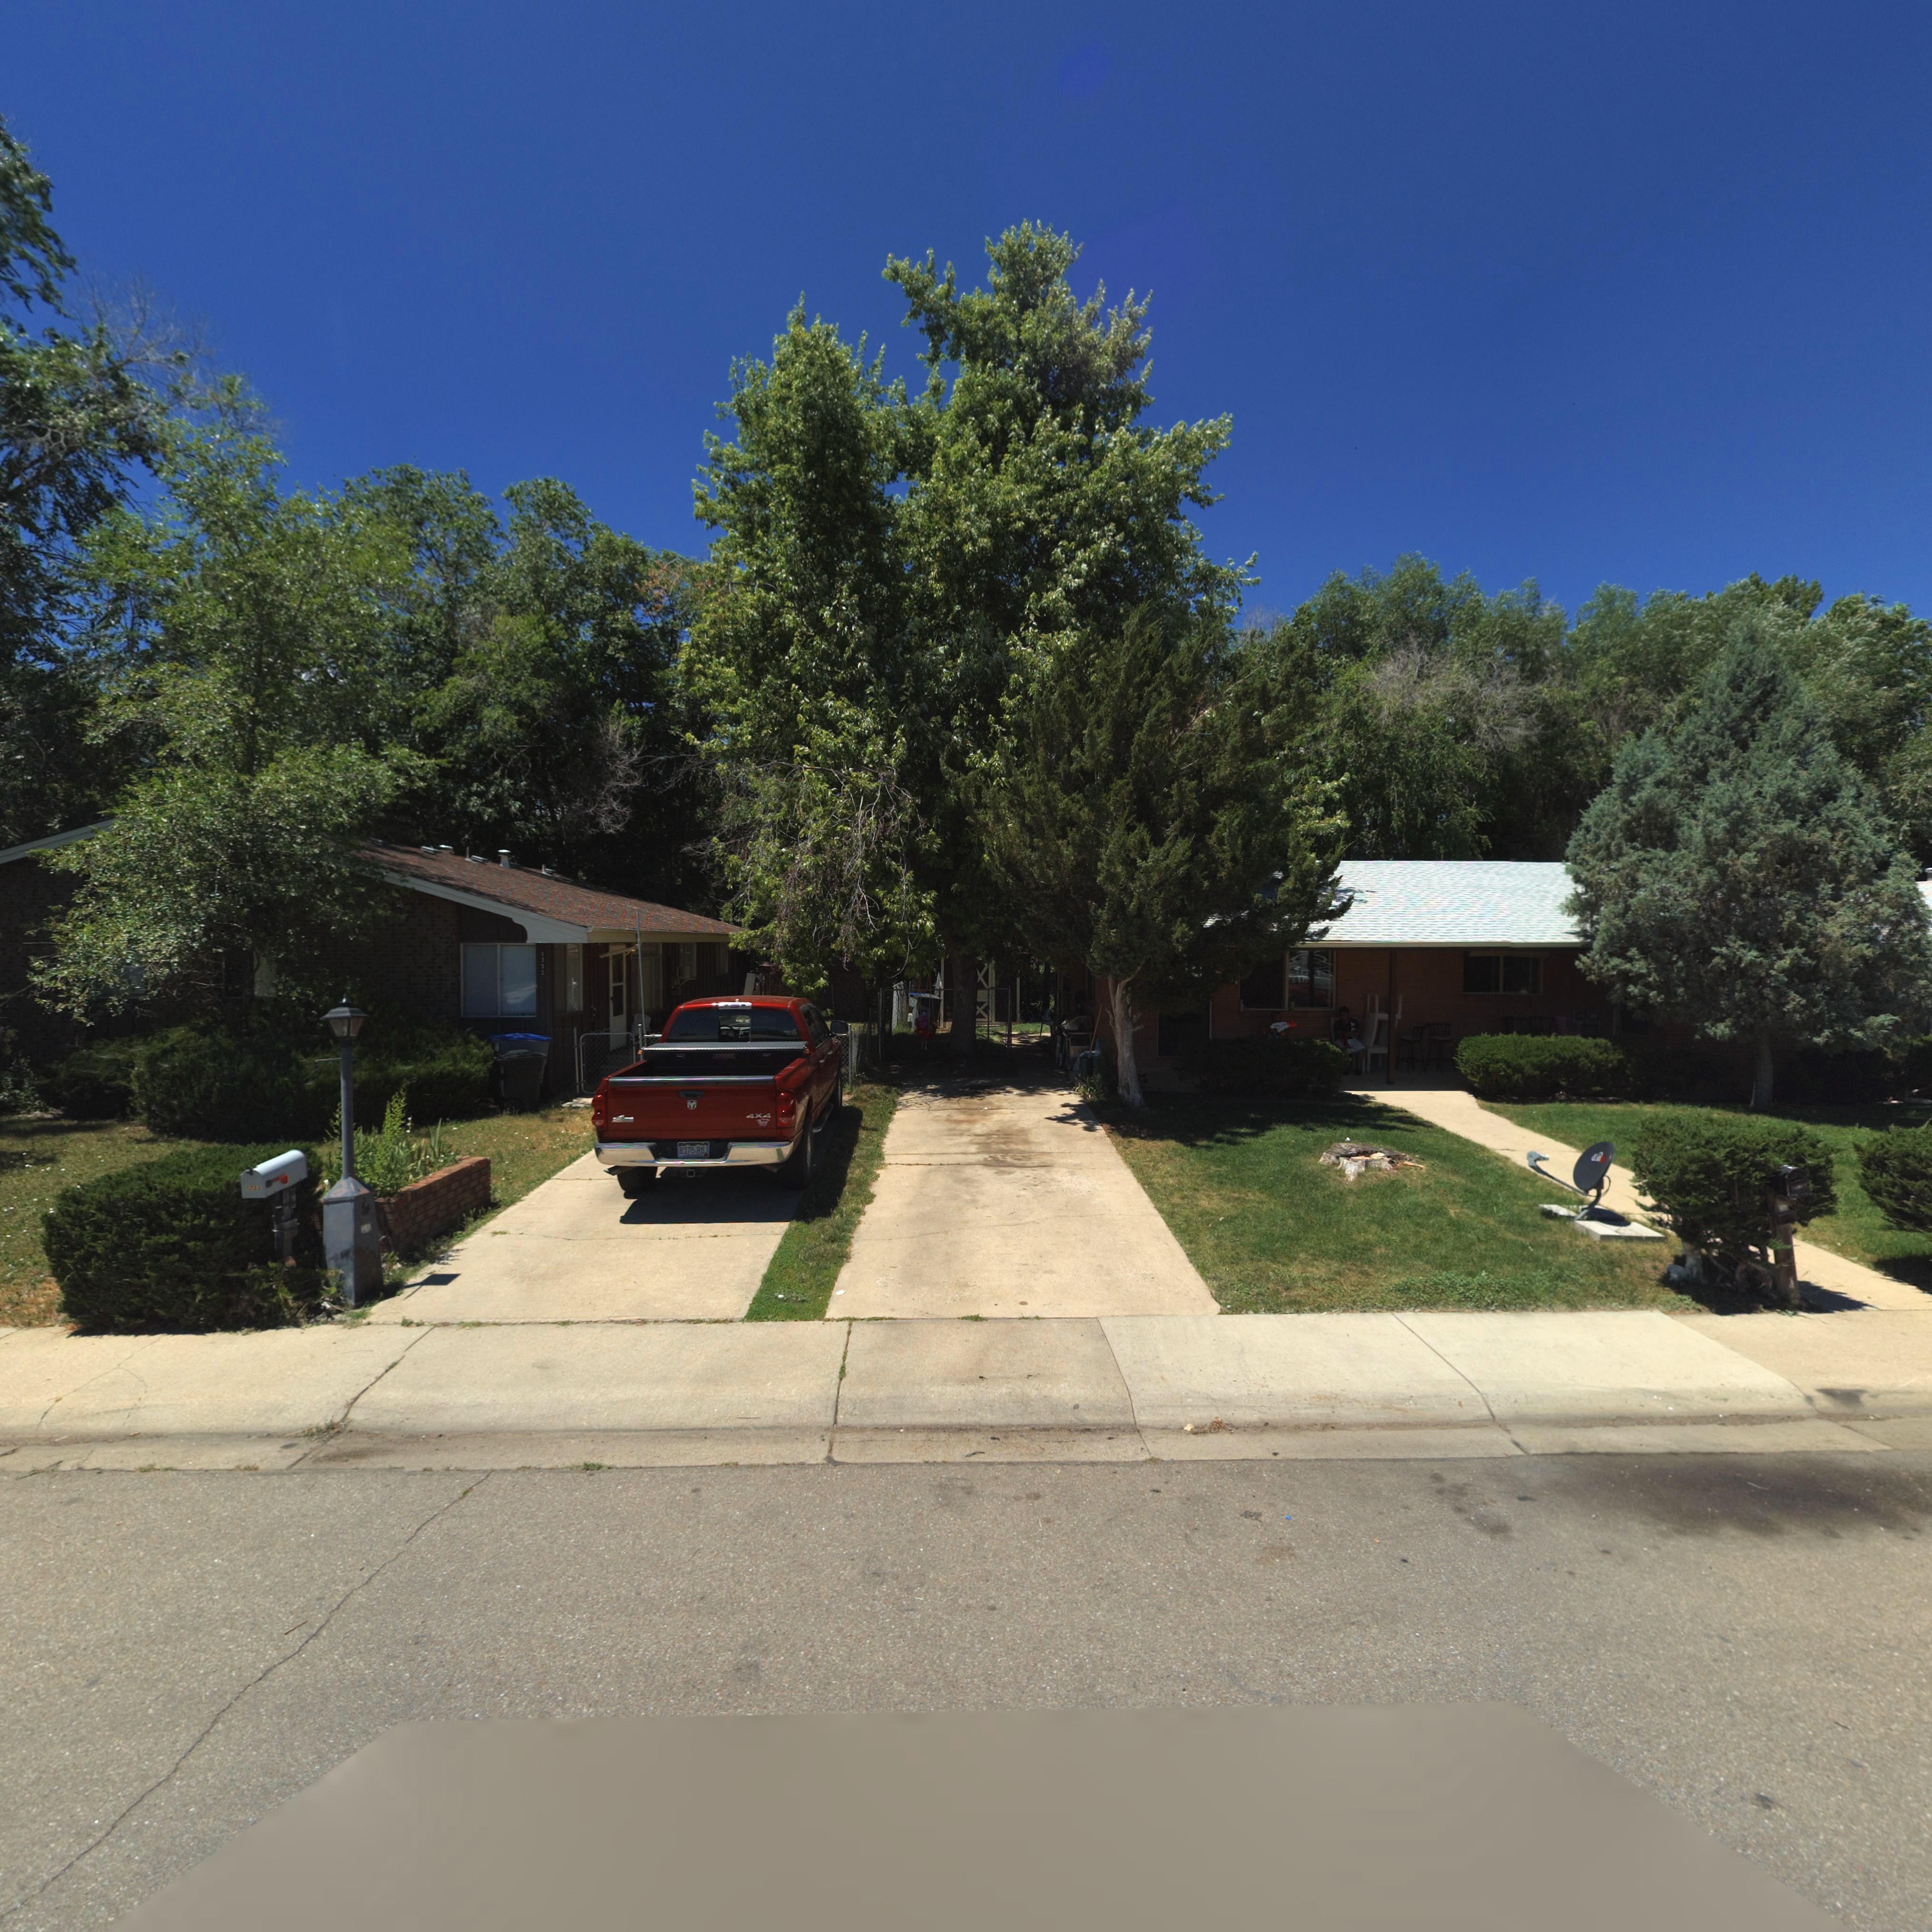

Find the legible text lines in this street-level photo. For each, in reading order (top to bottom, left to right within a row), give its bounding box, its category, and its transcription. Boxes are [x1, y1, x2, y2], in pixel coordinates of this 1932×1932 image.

[540, 951, 544, 976] StreetNumber: 1733
[245, 1185, 261, 1191] StreetNumber: 1733